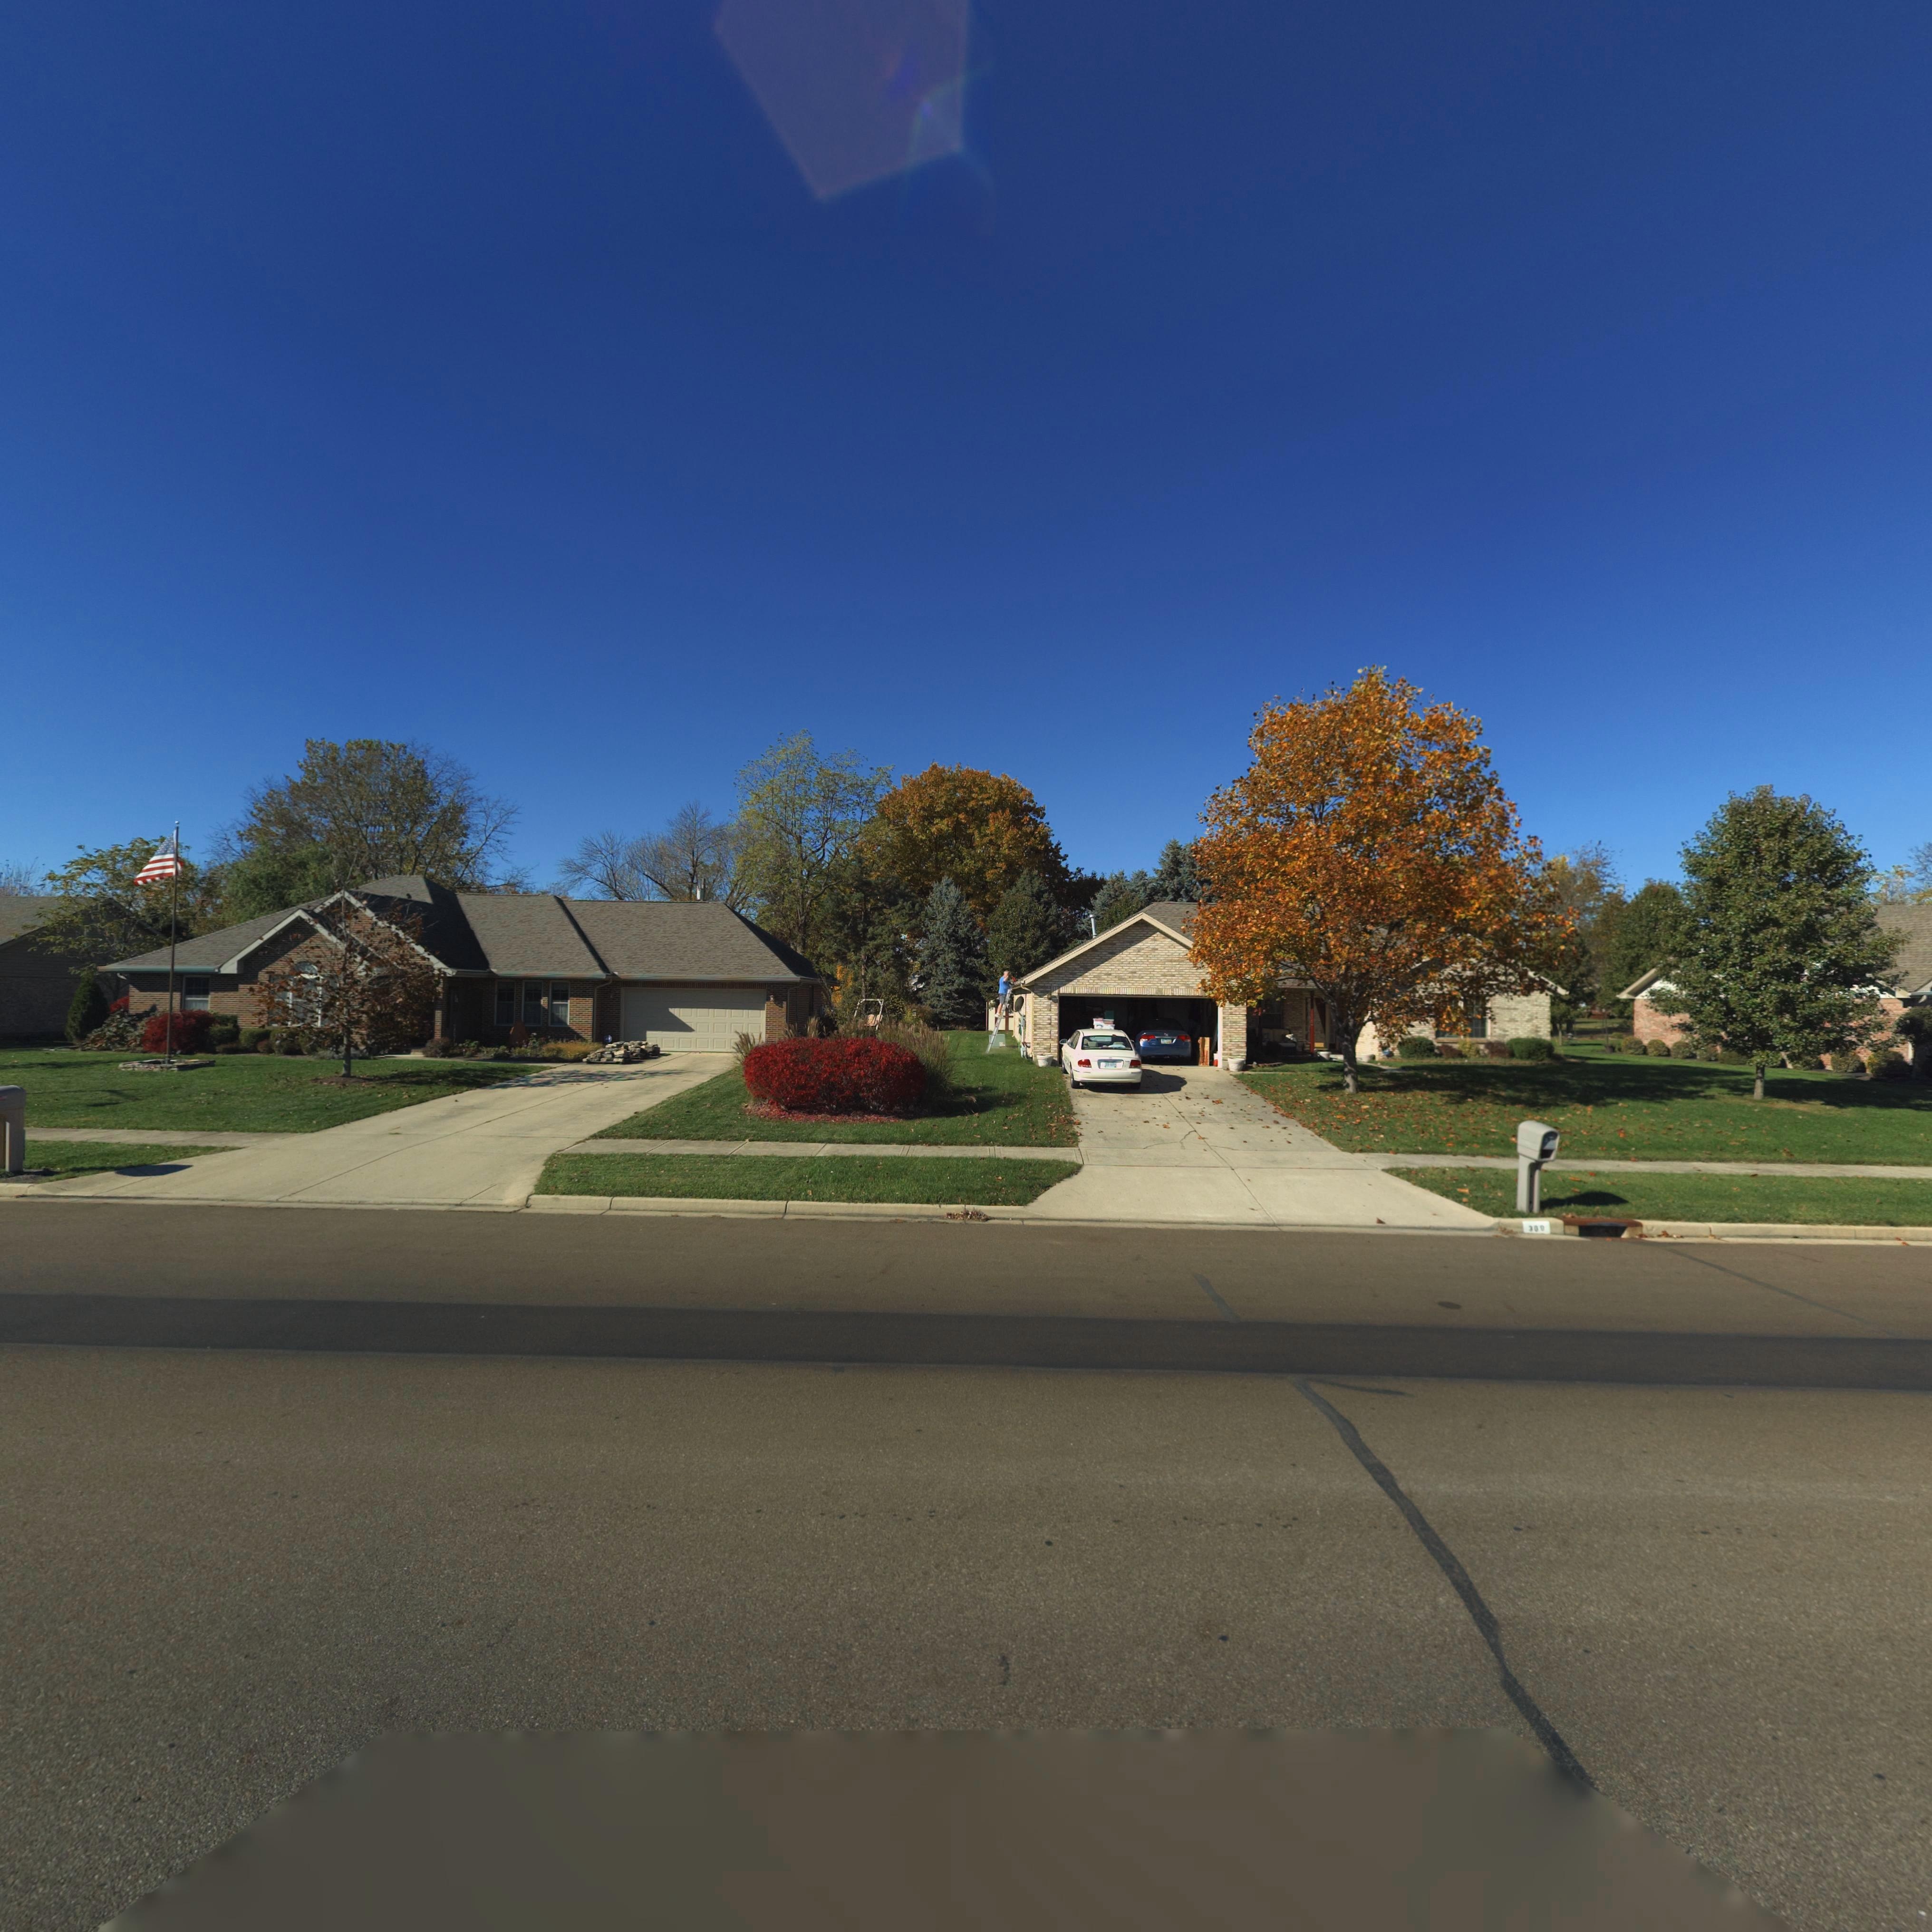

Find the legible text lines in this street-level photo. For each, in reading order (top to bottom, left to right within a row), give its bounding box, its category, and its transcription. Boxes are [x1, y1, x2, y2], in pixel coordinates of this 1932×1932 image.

[1527, 1225, 1545, 1232] StreetNumber: 3**